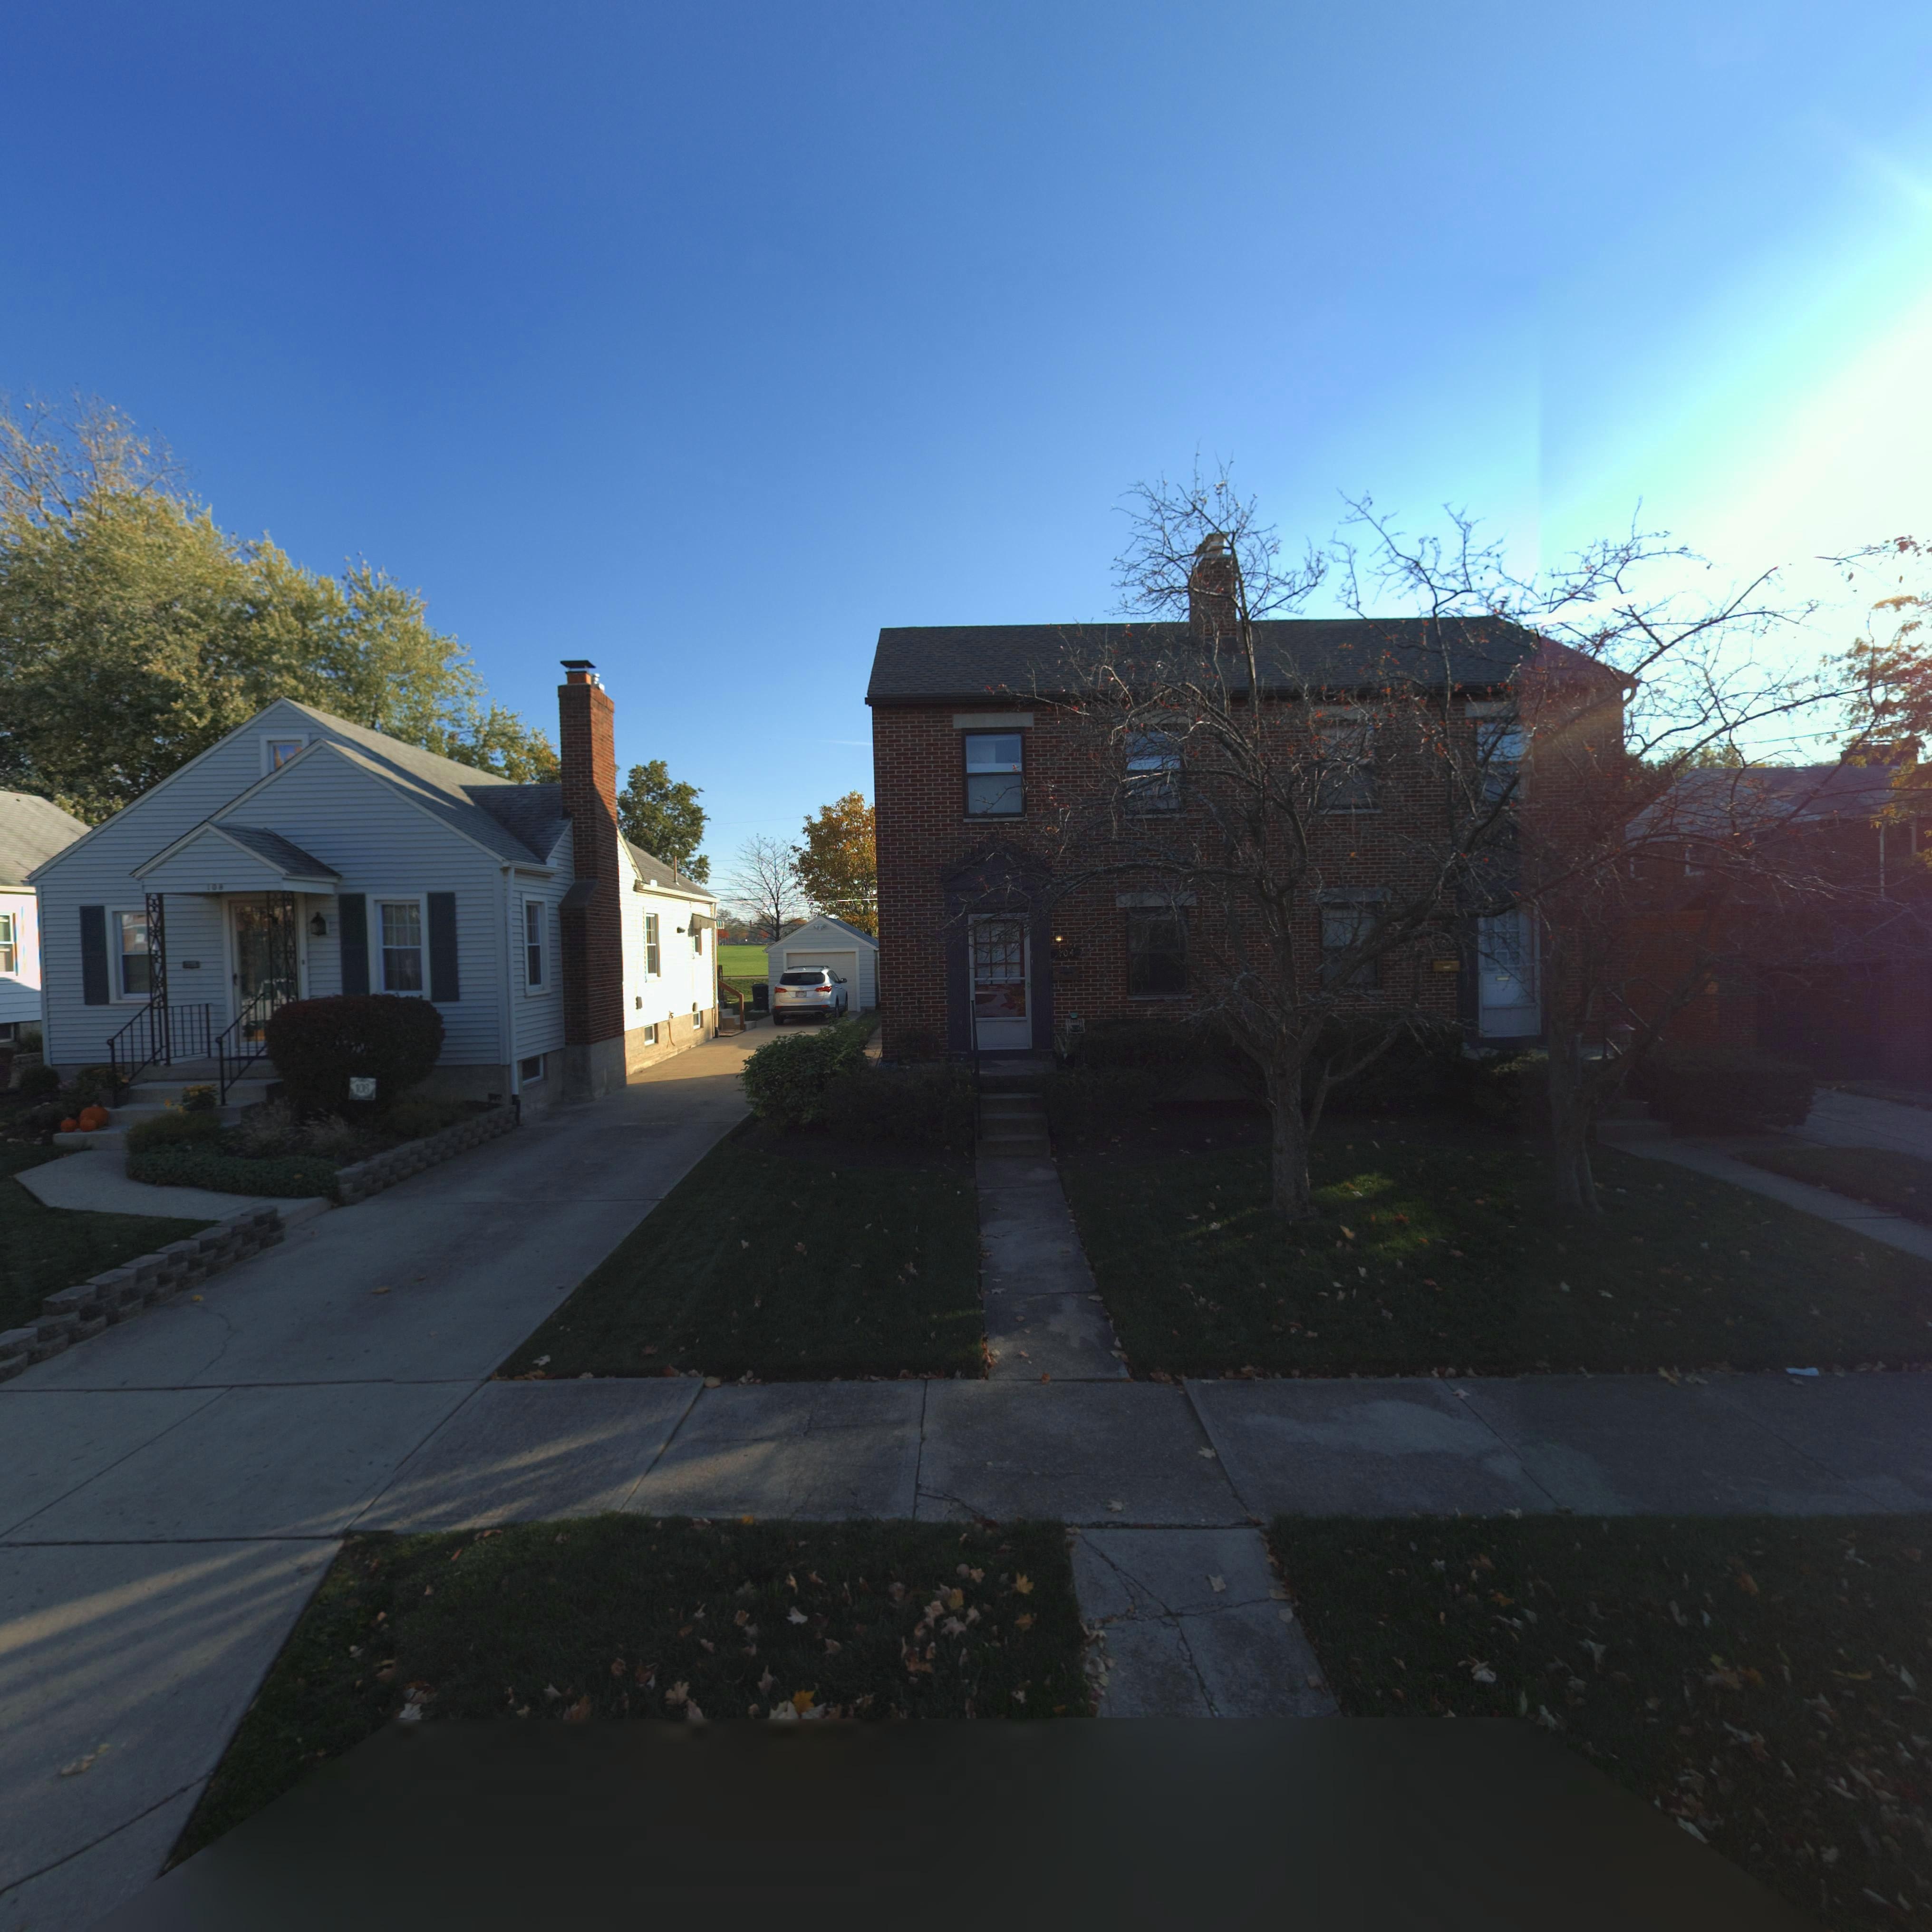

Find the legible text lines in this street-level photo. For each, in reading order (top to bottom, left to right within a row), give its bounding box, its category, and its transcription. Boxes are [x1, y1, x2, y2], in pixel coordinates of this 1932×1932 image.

[1058, 948, 1074, 958] StreetNumber: *04
[355, 1082, 370, 1094] StreetNumber: 10*